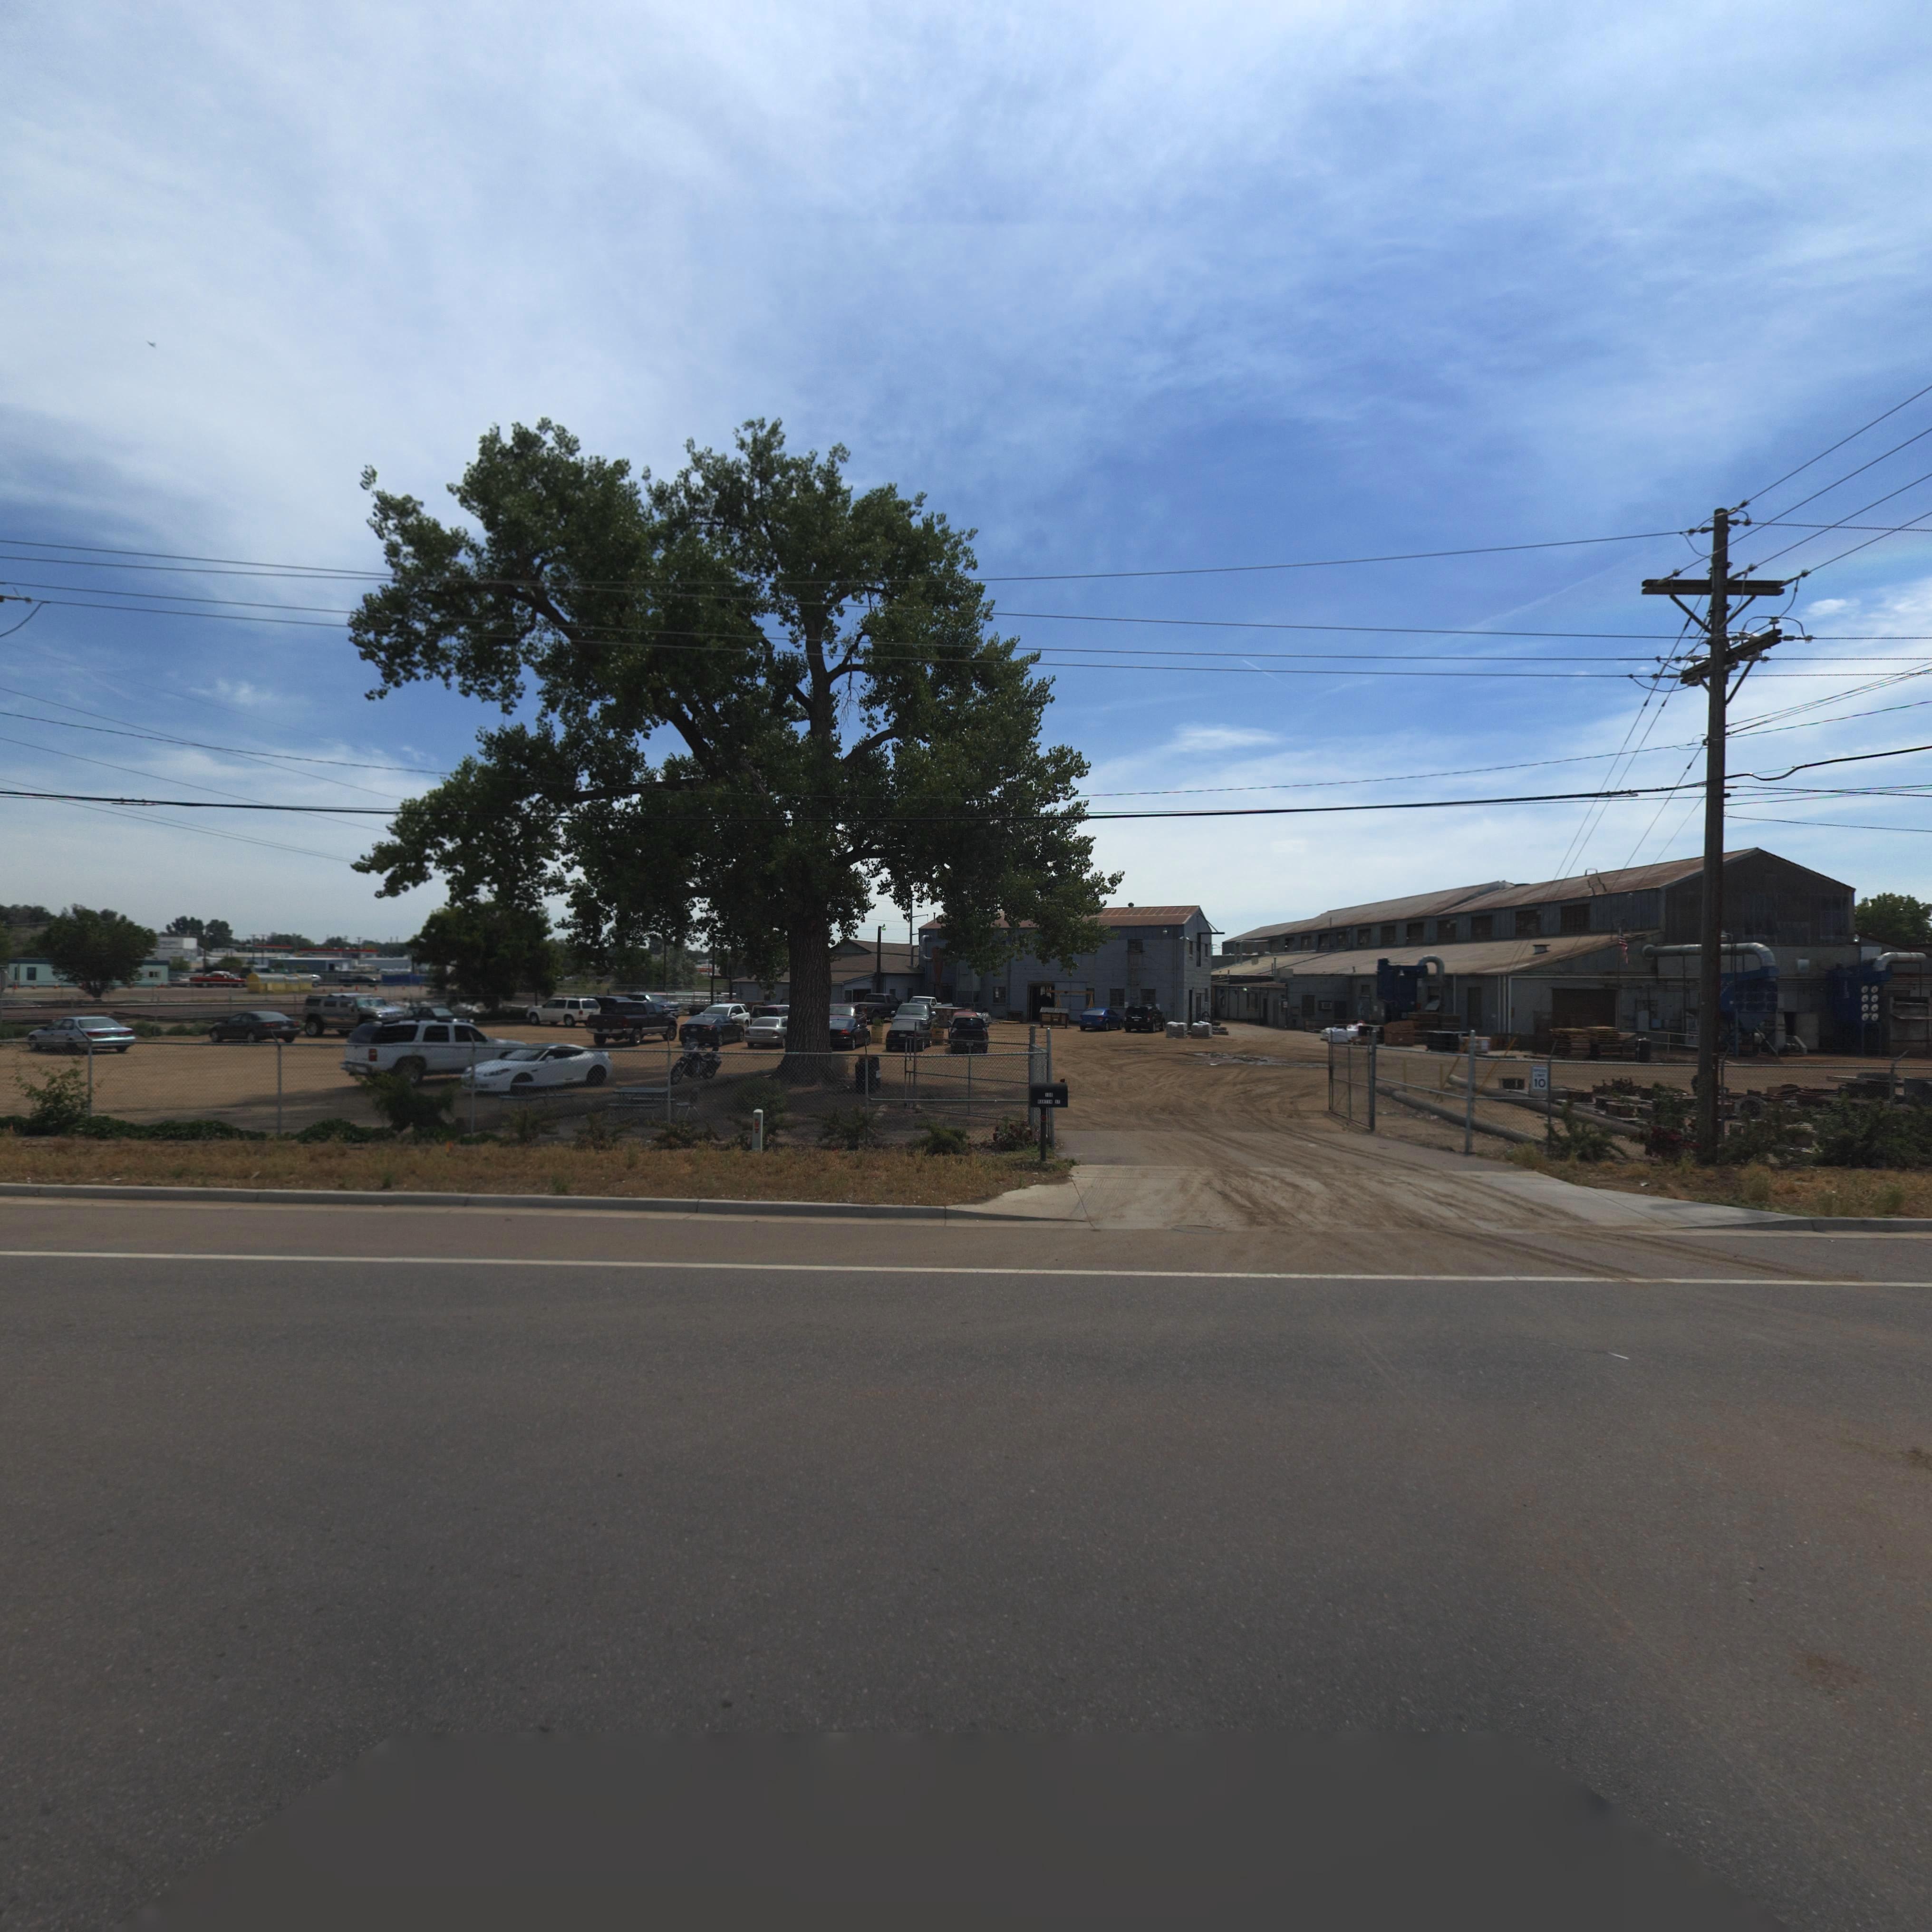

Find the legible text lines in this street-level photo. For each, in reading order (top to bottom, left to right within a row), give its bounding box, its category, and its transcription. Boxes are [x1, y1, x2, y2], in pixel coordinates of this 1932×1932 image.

[1055, 1100, 1060, 1103] StreetNumber: 51